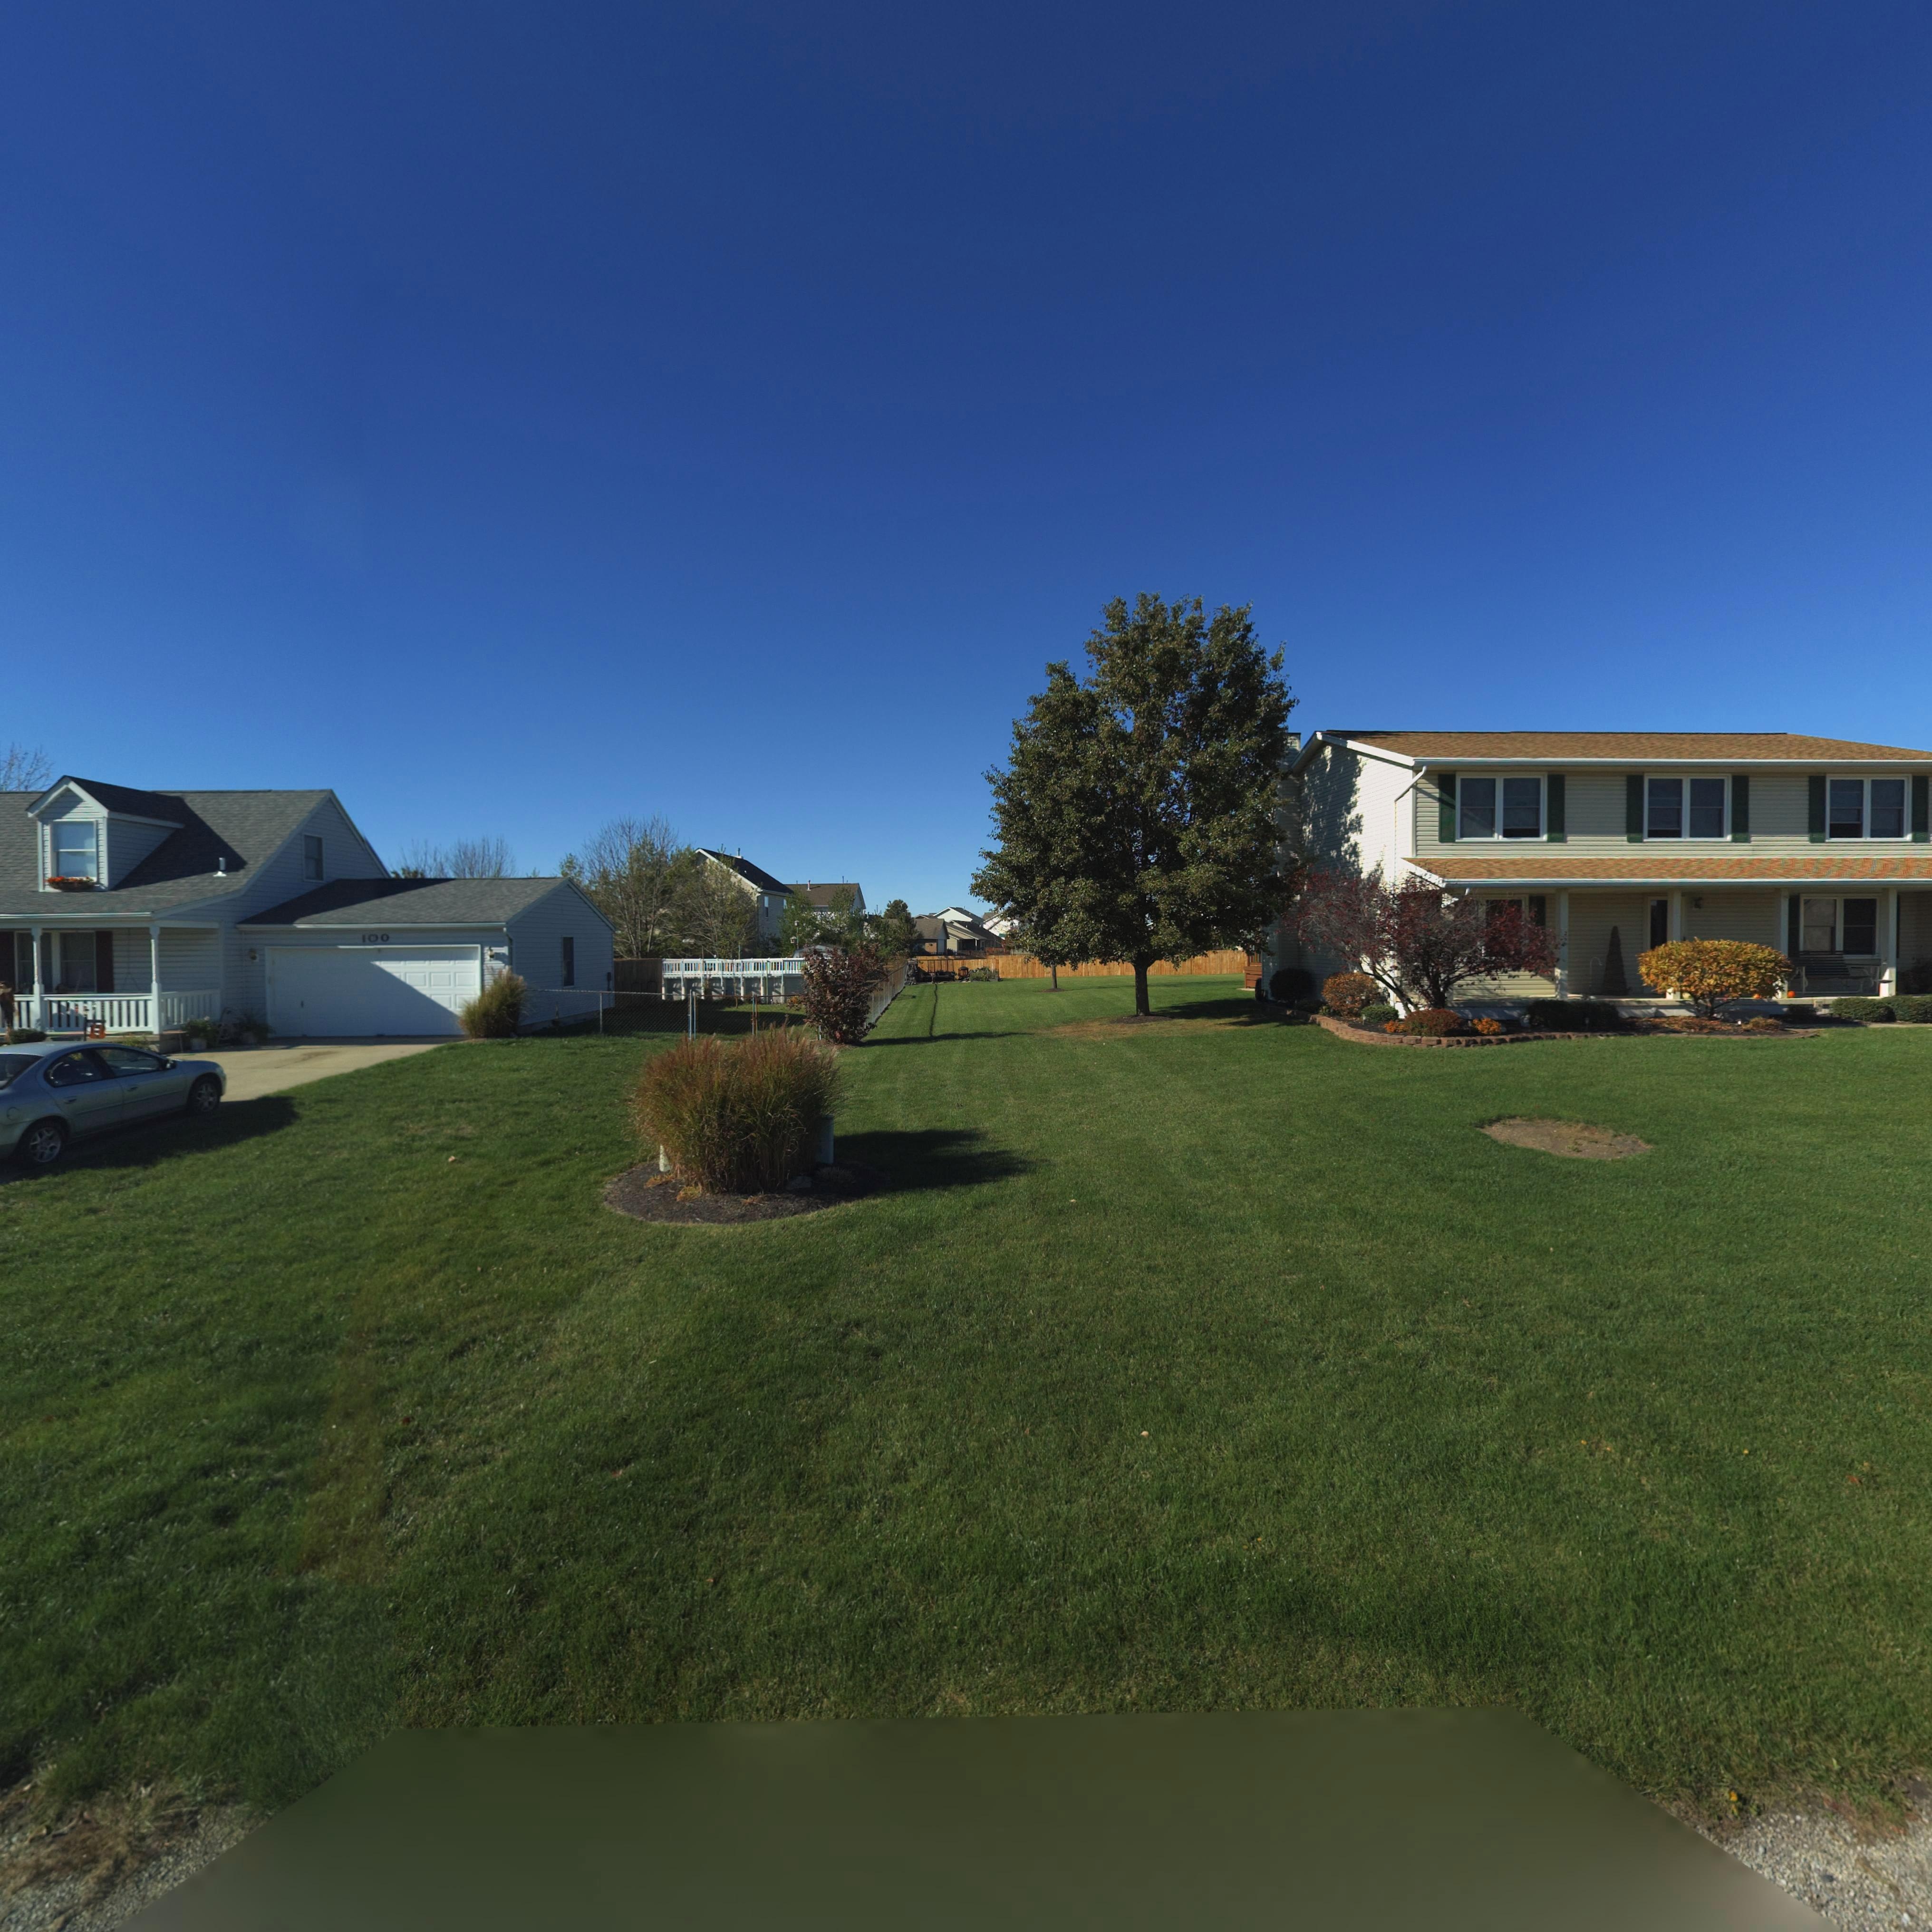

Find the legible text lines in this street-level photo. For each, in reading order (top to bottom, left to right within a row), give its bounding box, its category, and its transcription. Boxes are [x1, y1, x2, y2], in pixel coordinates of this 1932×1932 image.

[360, 933, 389, 943] StreetNumber: 100